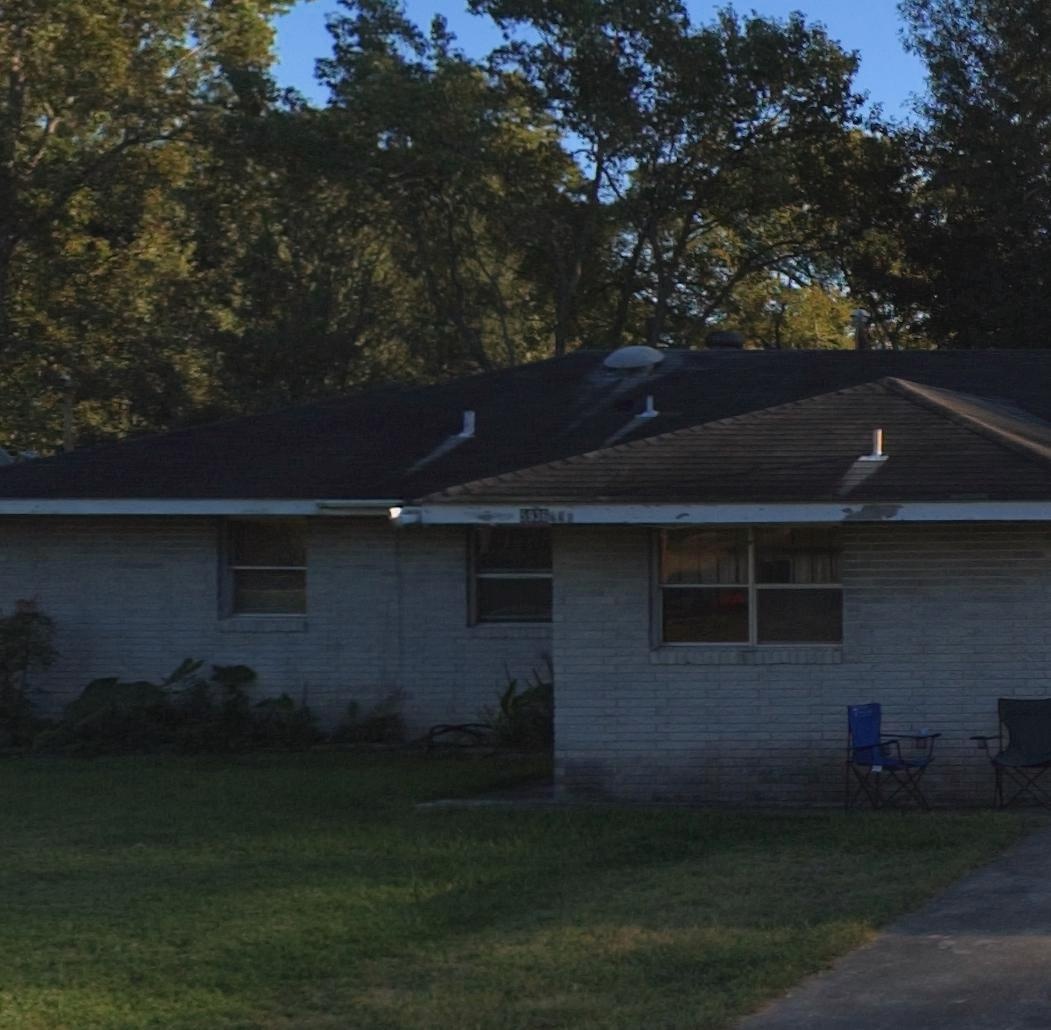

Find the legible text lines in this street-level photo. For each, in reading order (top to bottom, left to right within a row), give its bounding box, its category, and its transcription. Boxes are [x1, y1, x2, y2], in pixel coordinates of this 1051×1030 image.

[521, 509, 548, 523] StreetNumber: 5936